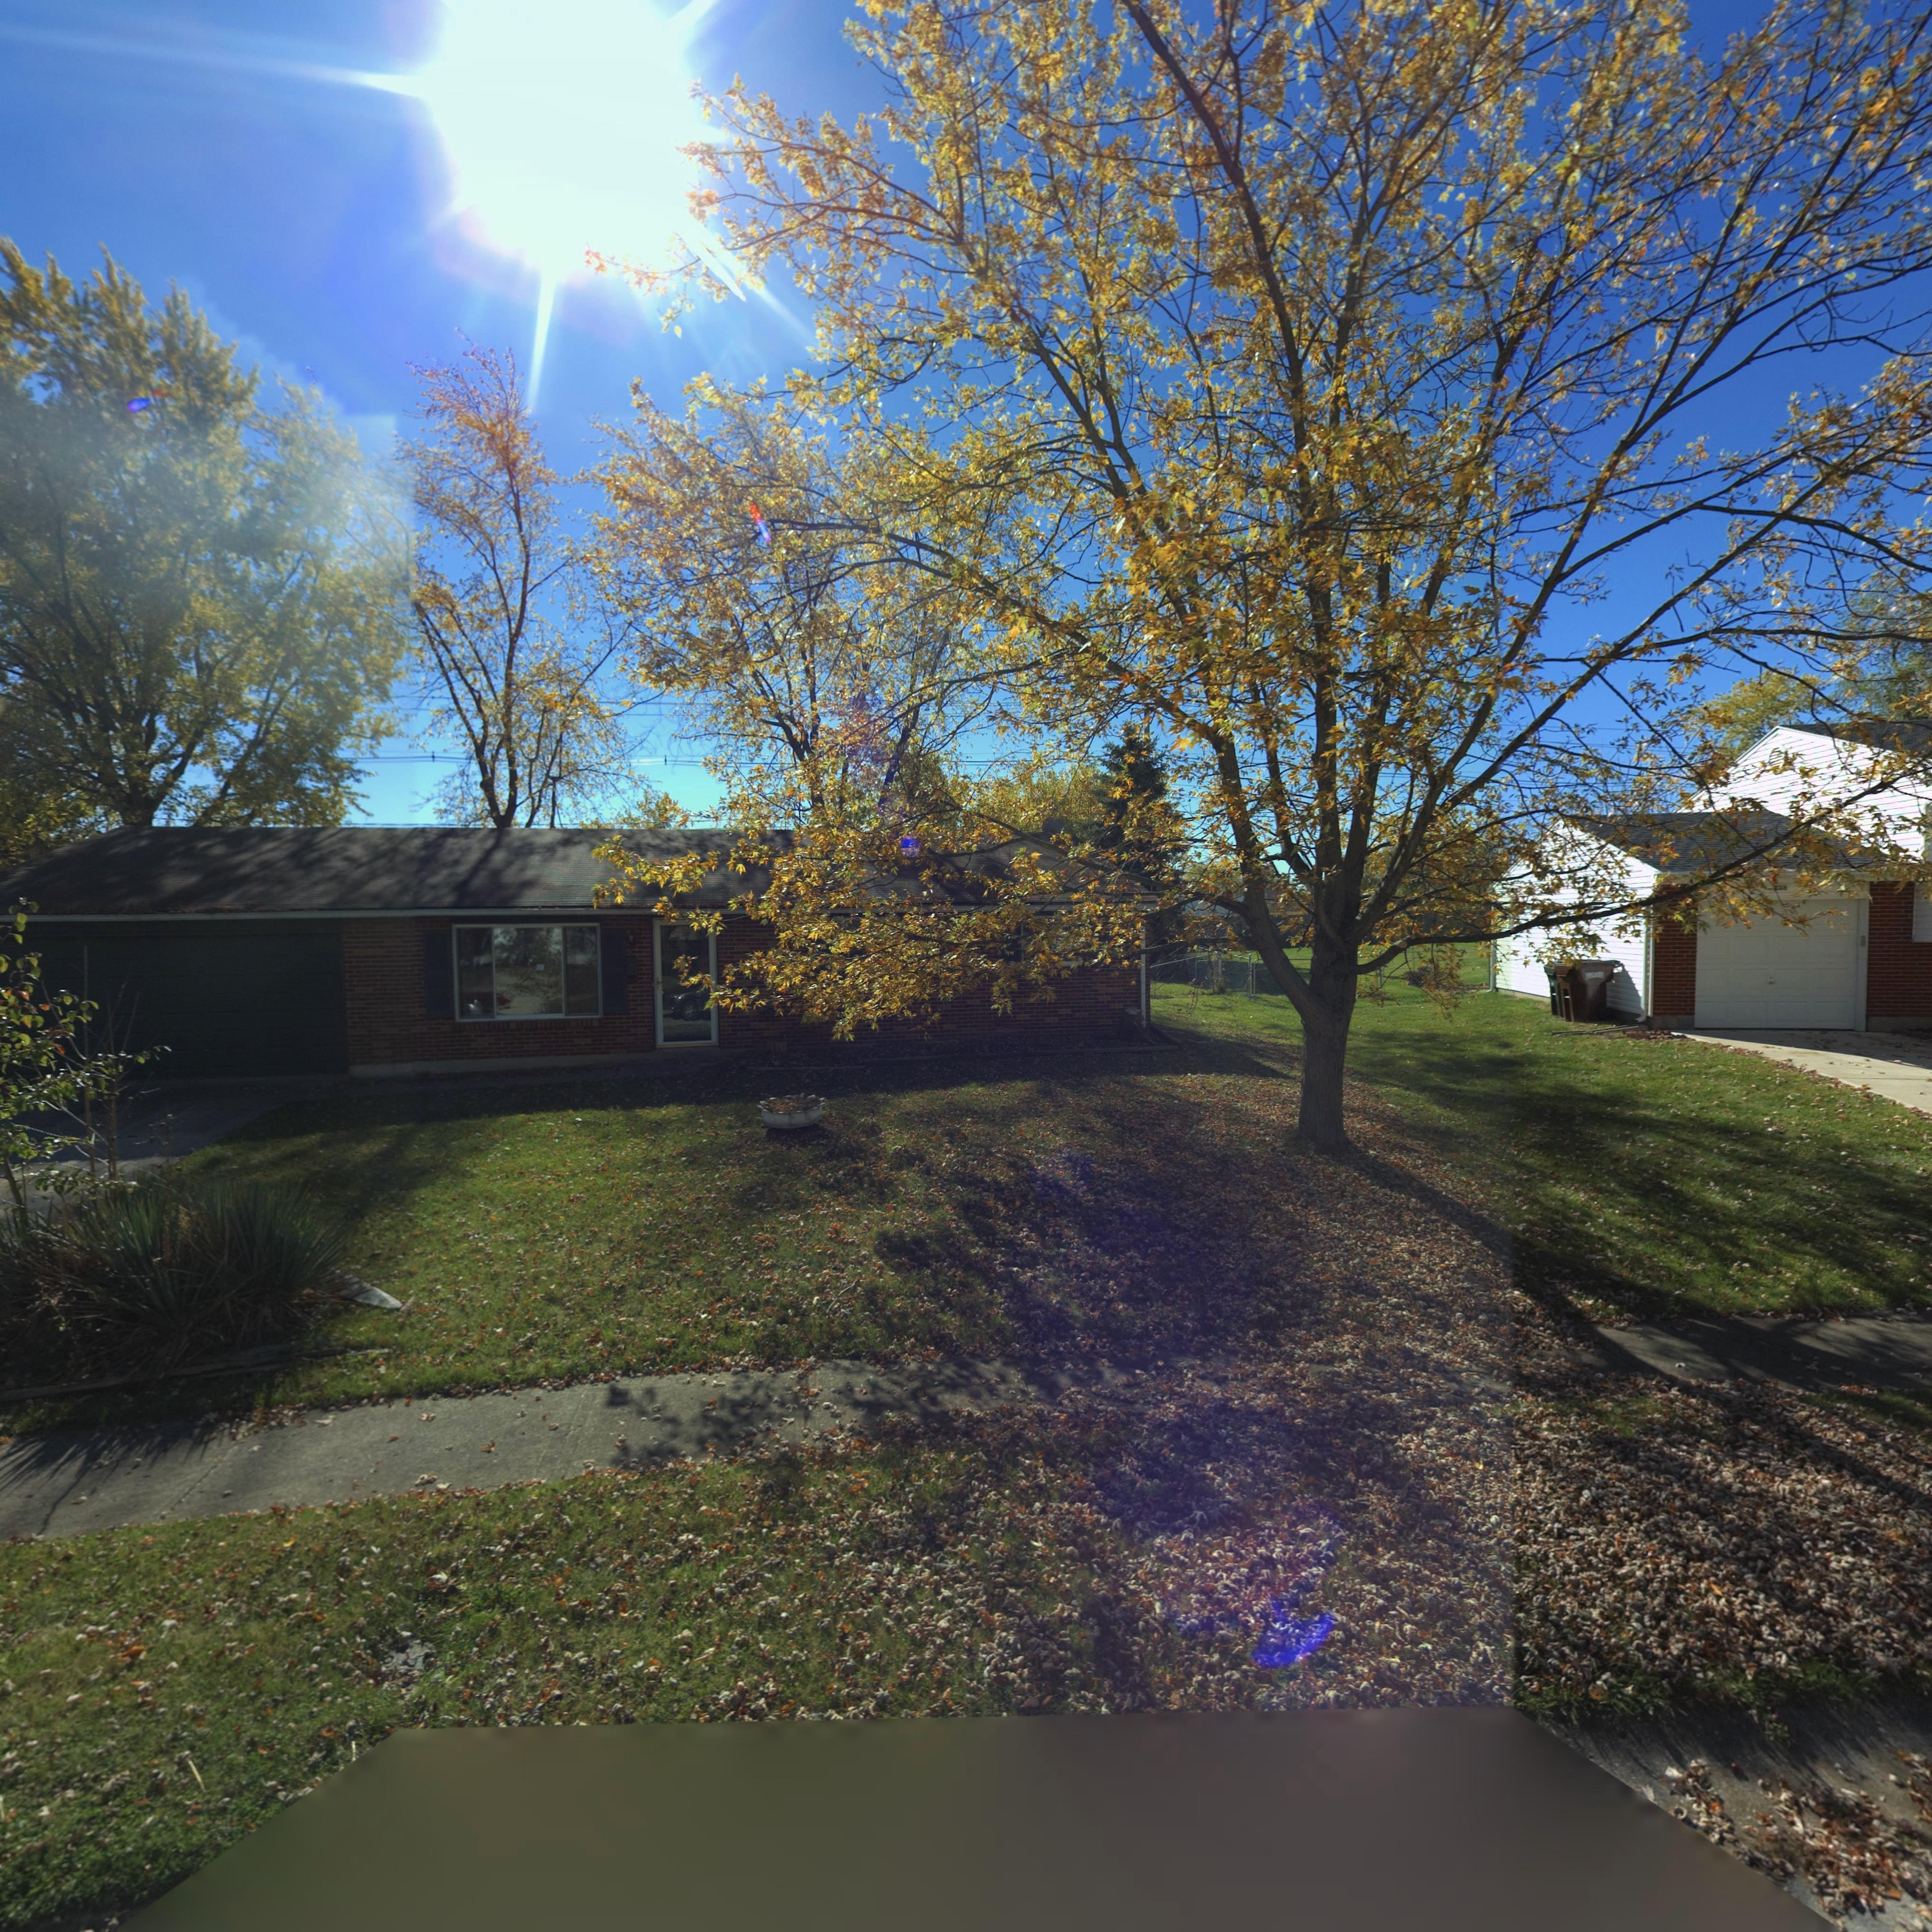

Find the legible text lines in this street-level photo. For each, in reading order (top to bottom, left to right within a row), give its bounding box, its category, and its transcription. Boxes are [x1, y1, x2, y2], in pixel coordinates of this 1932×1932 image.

[1773, 885, 1787, 891] StreetNumber: 238